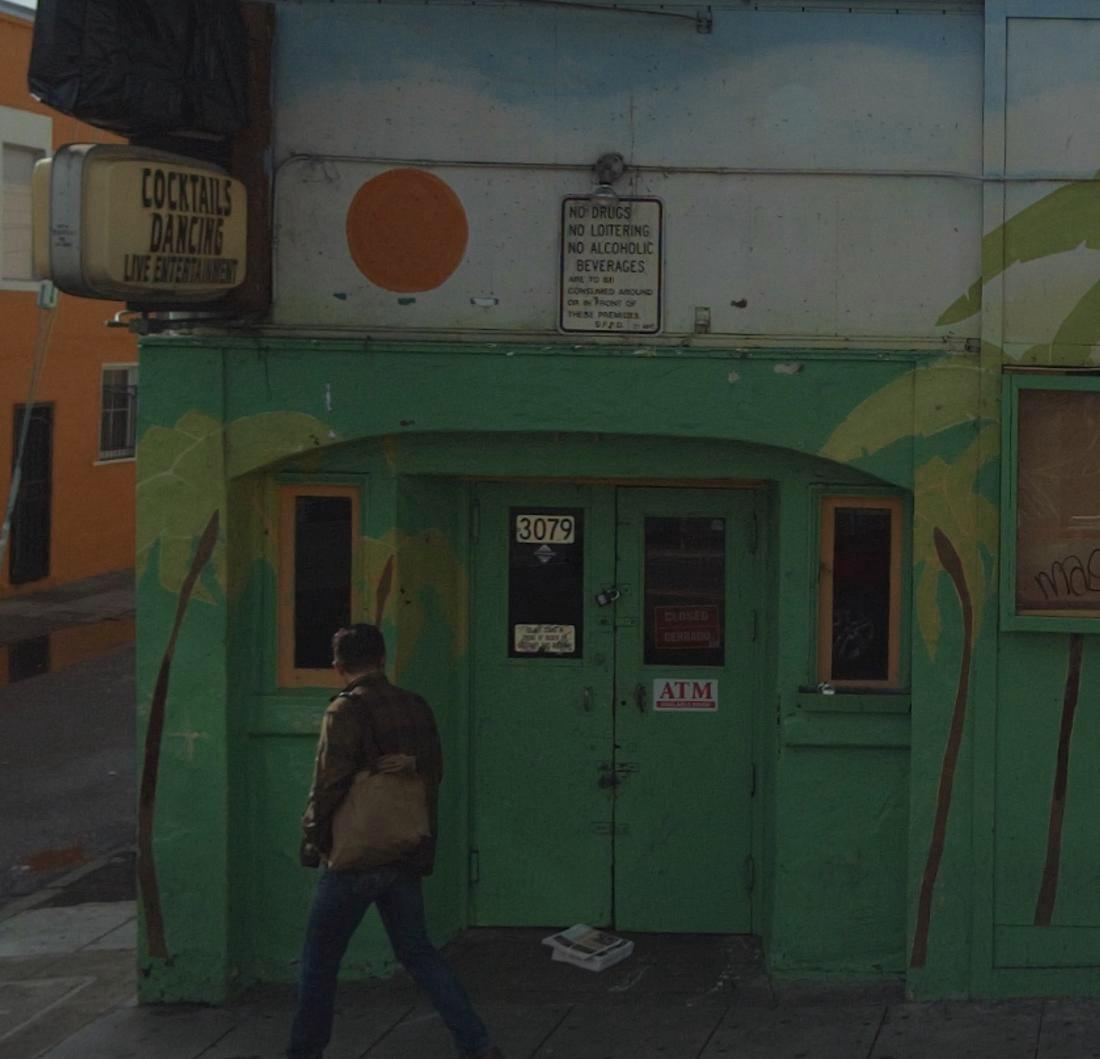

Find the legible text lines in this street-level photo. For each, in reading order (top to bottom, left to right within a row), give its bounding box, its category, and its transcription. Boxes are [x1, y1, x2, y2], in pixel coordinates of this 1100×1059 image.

[139, 161, 235, 218] None: COCKTAILS
[567, 202, 635, 222] None: NO DRUGS
[145, 210, 229, 257] None: DANCING
[566, 222, 652, 238] None: NO LOITERING
[565, 239, 657, 256] None: NO ALCOHOLIC
[121, 251, 241, 288] None: LIVE ENTERTAINMENT
[574, 257, 647, 275] None: BEVERAGES
[519, 516, 573, 542] StreetNumber: 3079
[663, 609, 709, 622] None: CLOSED
[663, 629, 711, 642] None: CERRADO
[658, 679, 712, 698] None: ATM